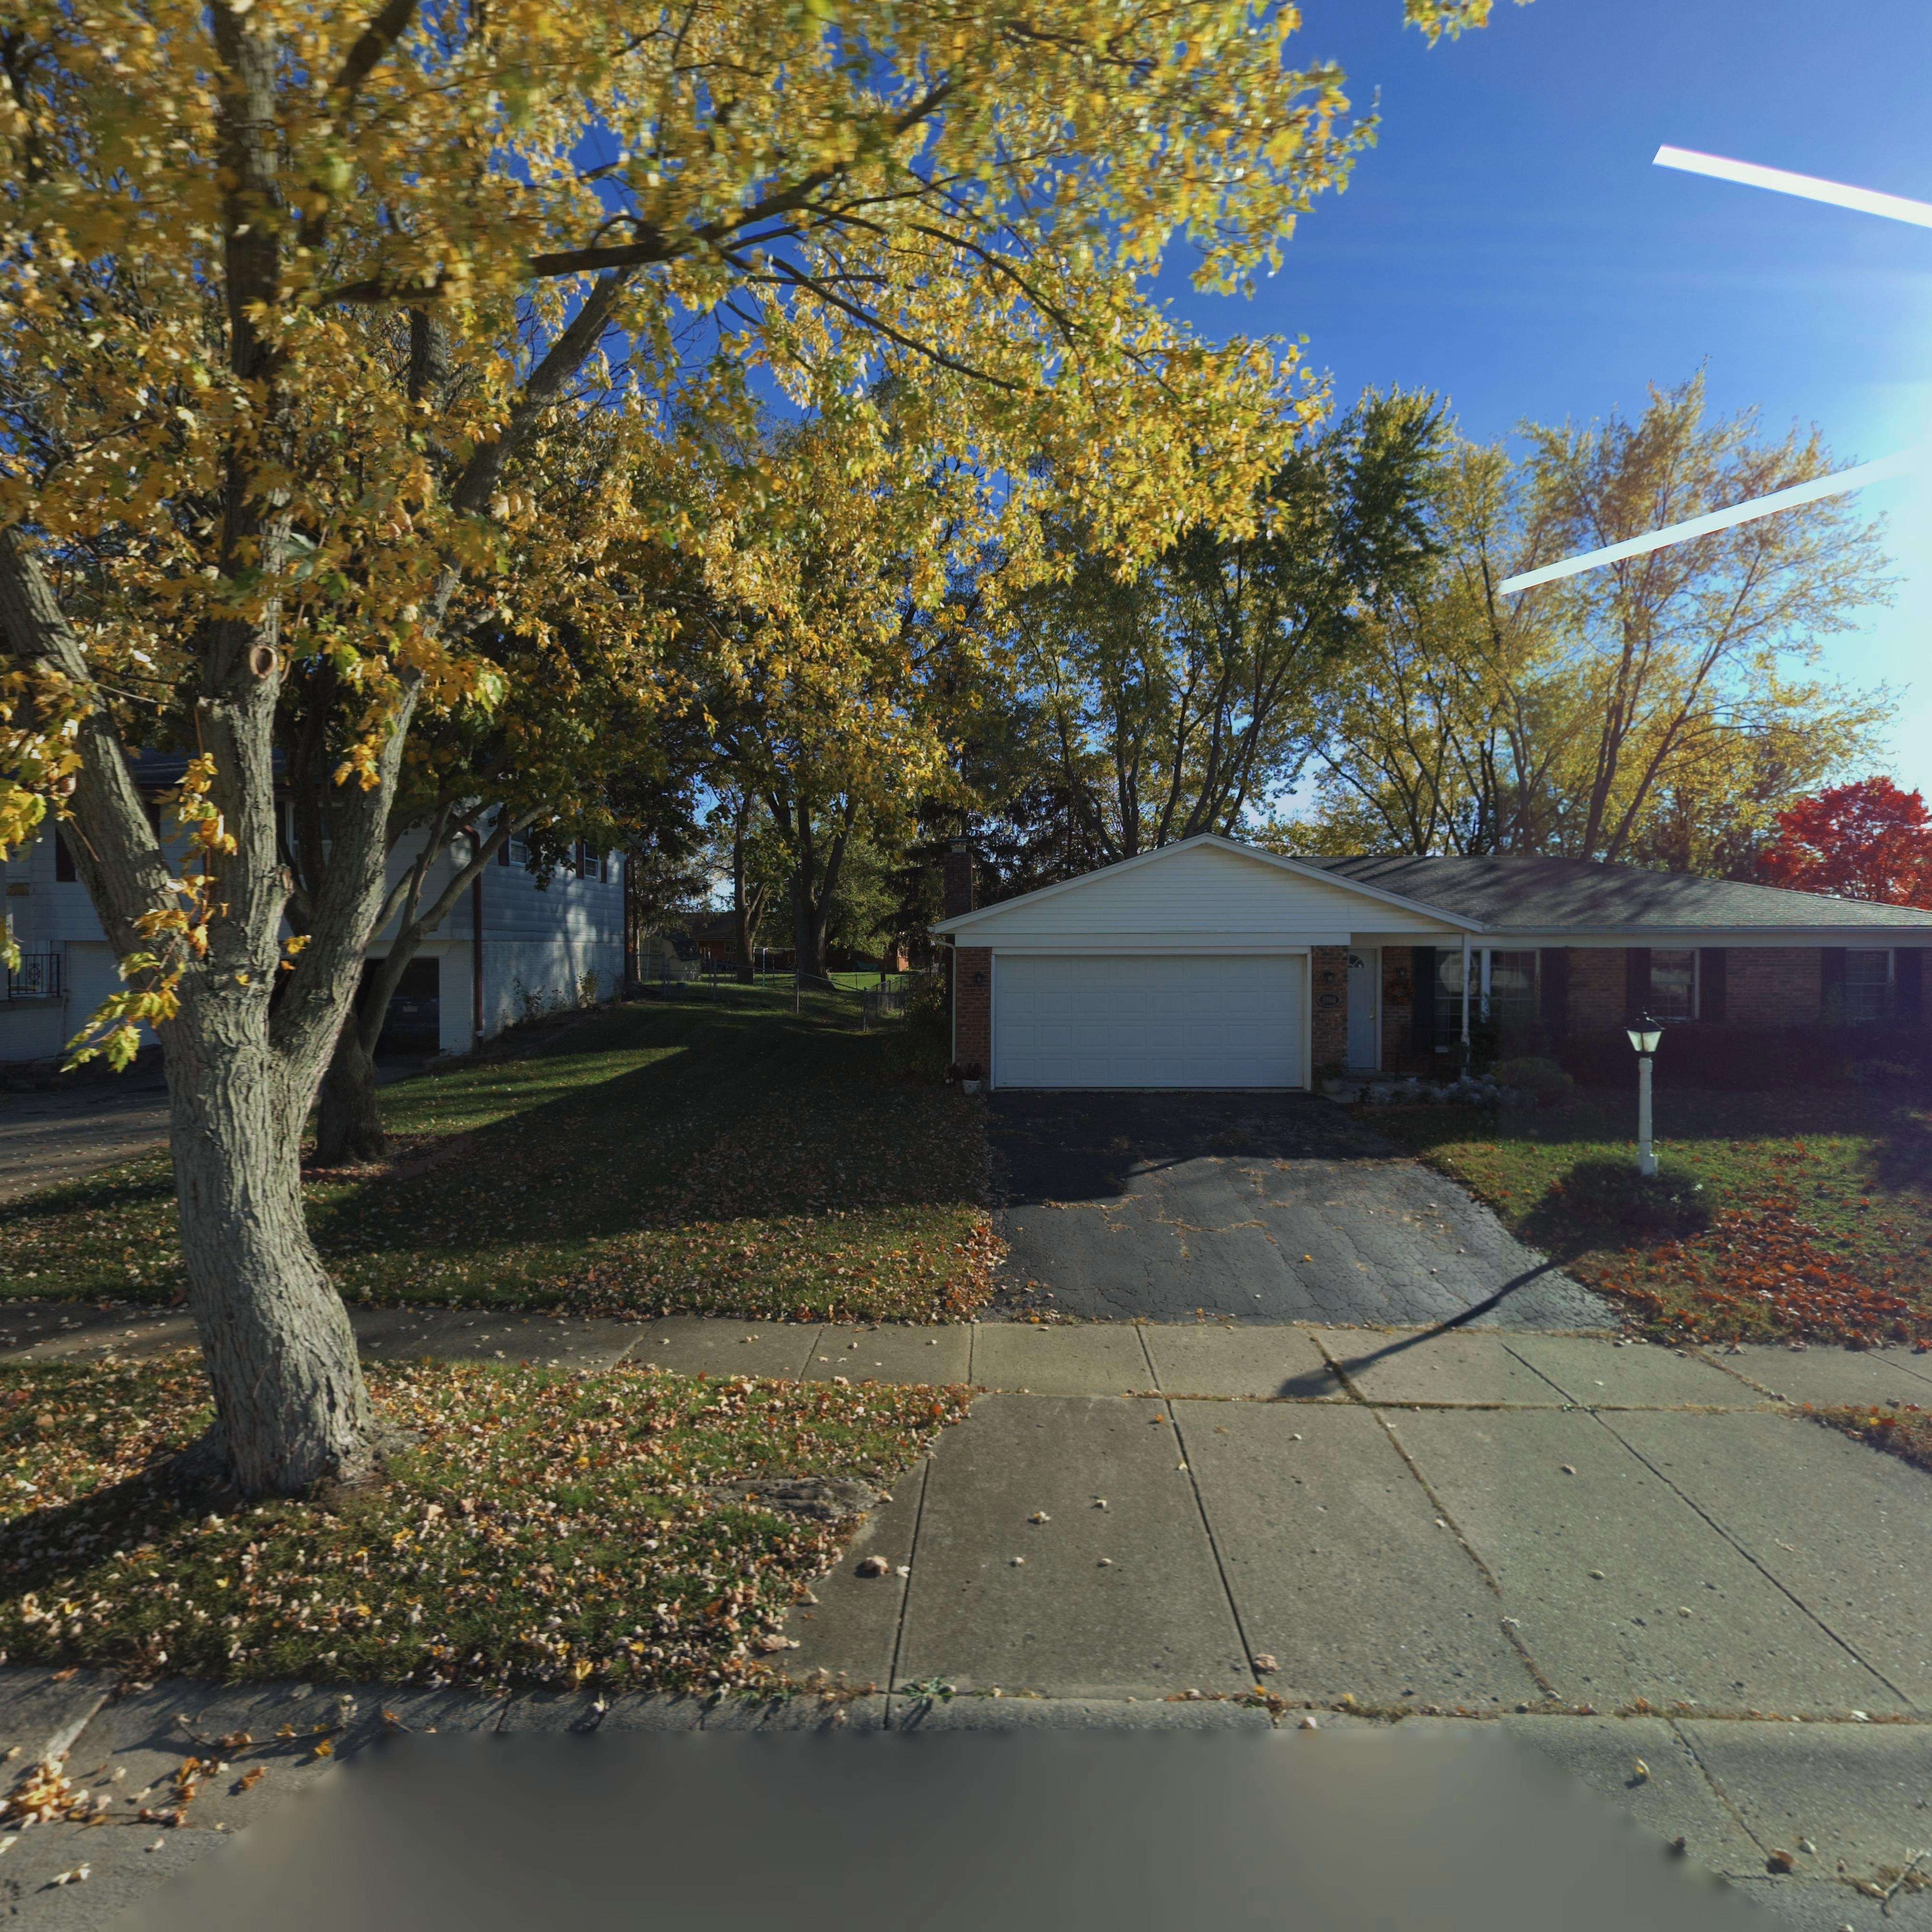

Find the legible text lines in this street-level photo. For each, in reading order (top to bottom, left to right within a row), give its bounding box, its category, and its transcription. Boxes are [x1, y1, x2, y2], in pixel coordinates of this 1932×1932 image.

[1322, 995, 1336, 1004] StreetNumber: 5000